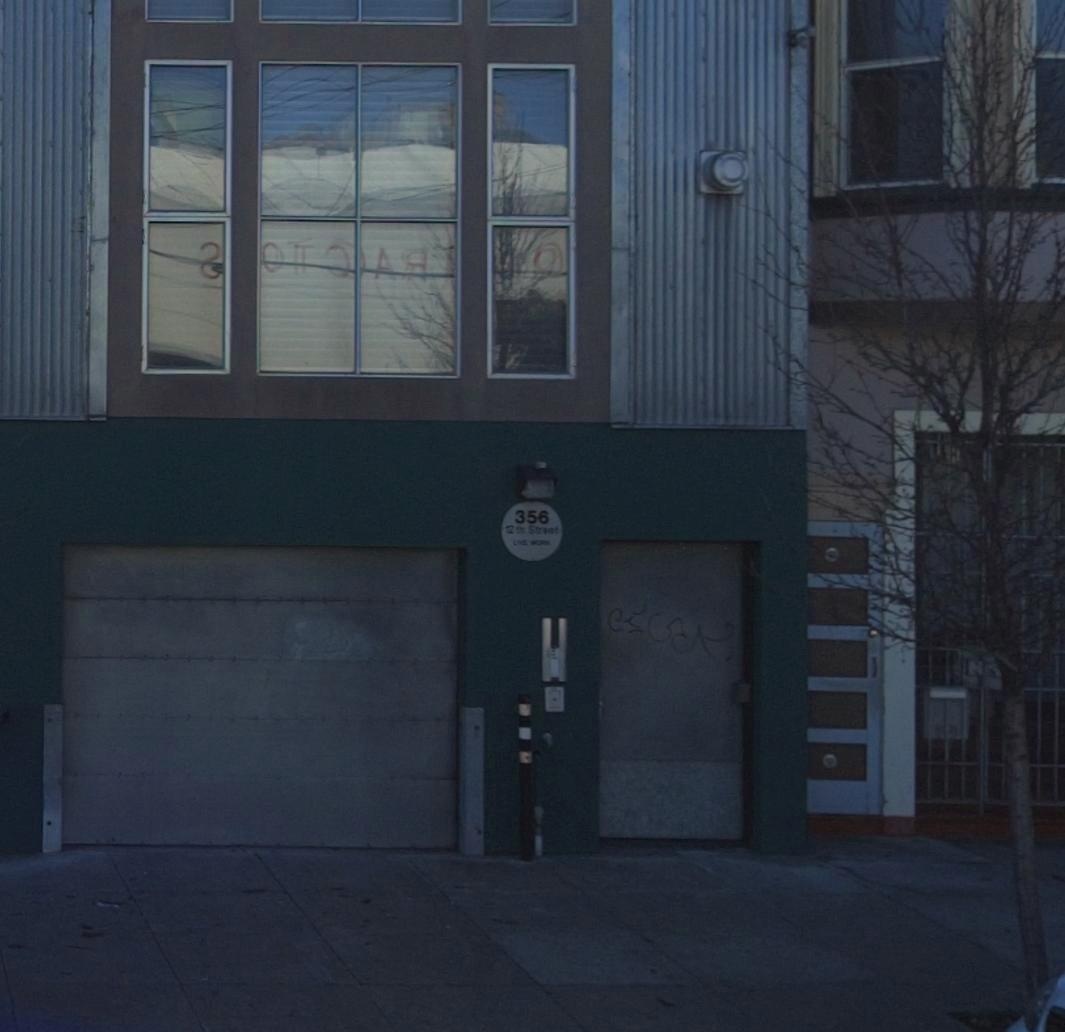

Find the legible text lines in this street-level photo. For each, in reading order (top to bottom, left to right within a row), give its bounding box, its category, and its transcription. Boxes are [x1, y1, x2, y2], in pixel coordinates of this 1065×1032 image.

[258, 238, 436, 292] None: OT*A*
[512, 506, 551, 527] StreetNumber: 356
[504, 523, 560, 536] StreetName: 12 ** Str*et
[602, 599, 725, 673] None: e*C*A